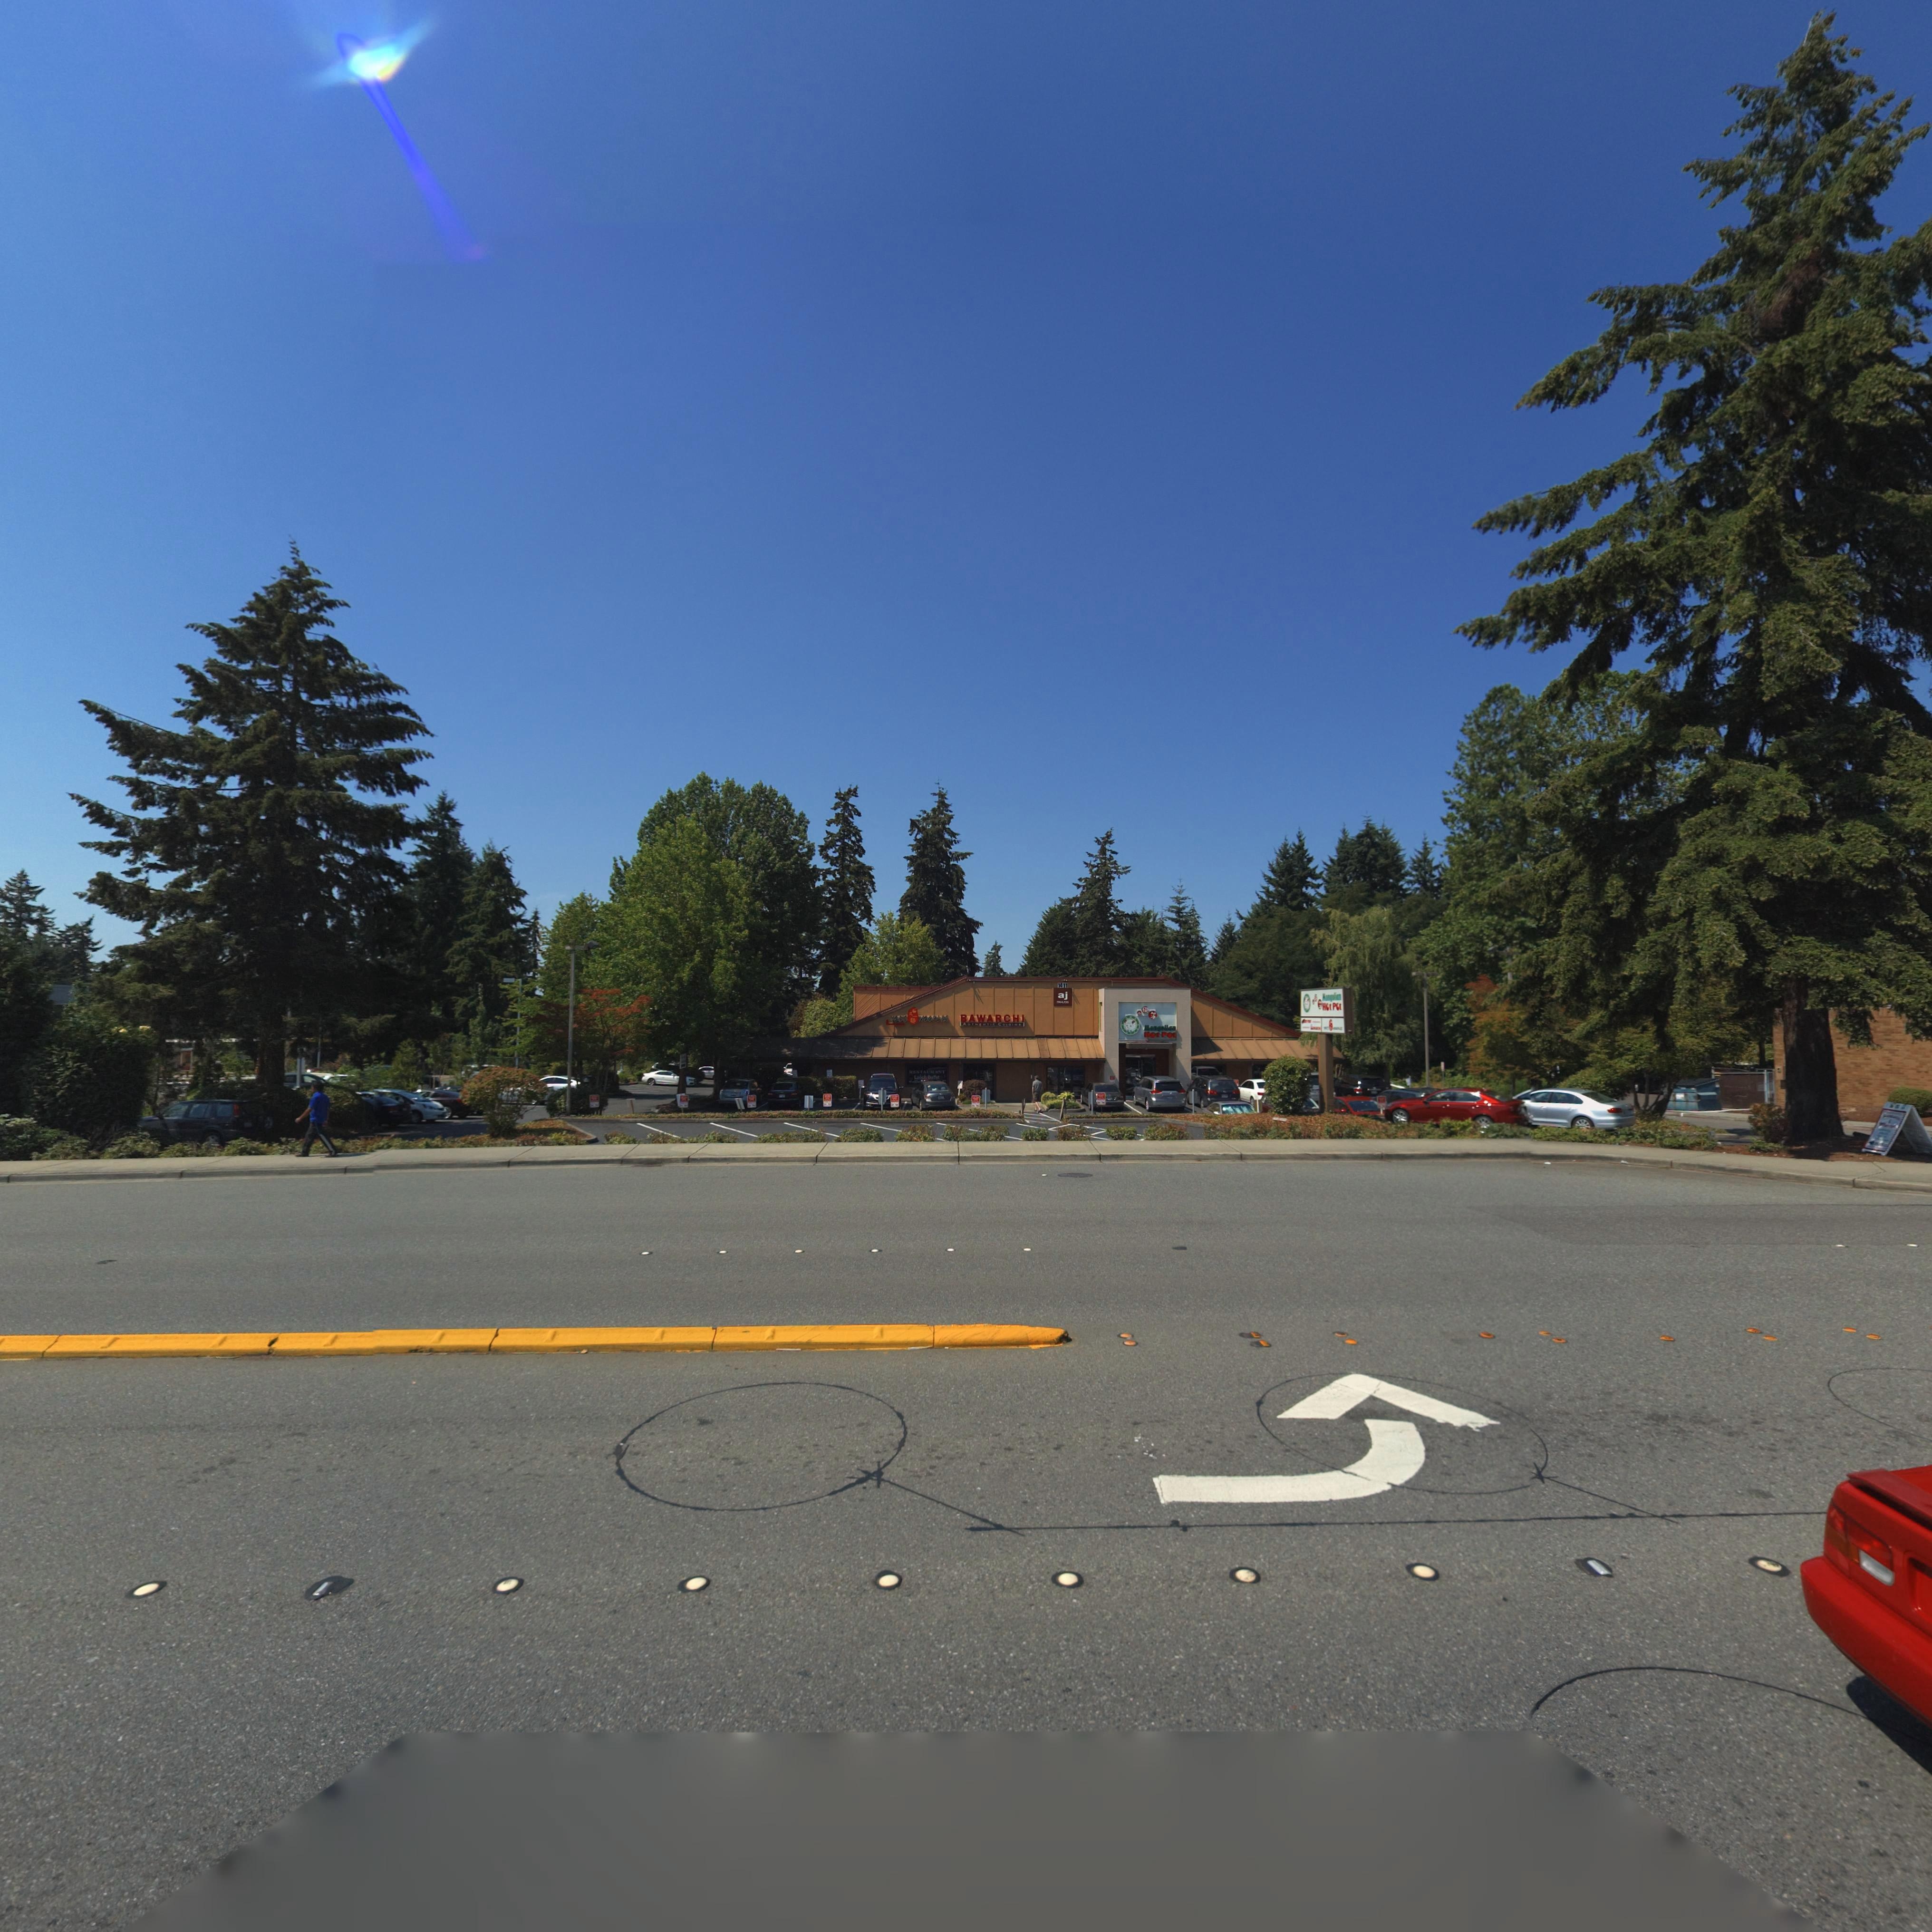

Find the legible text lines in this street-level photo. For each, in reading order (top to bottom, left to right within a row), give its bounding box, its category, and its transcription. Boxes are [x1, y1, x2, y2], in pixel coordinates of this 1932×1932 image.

[1058, 991, 1068, 1000] BusinessName: aj
[1322, 1002, 1342, 1011] BusinessName: Hot Pot
[960, 1014, 1024, 1023] BusinessName: BAWARCHI
[1143, 1031, 1176, 1038] BusinessName: Hot Pot